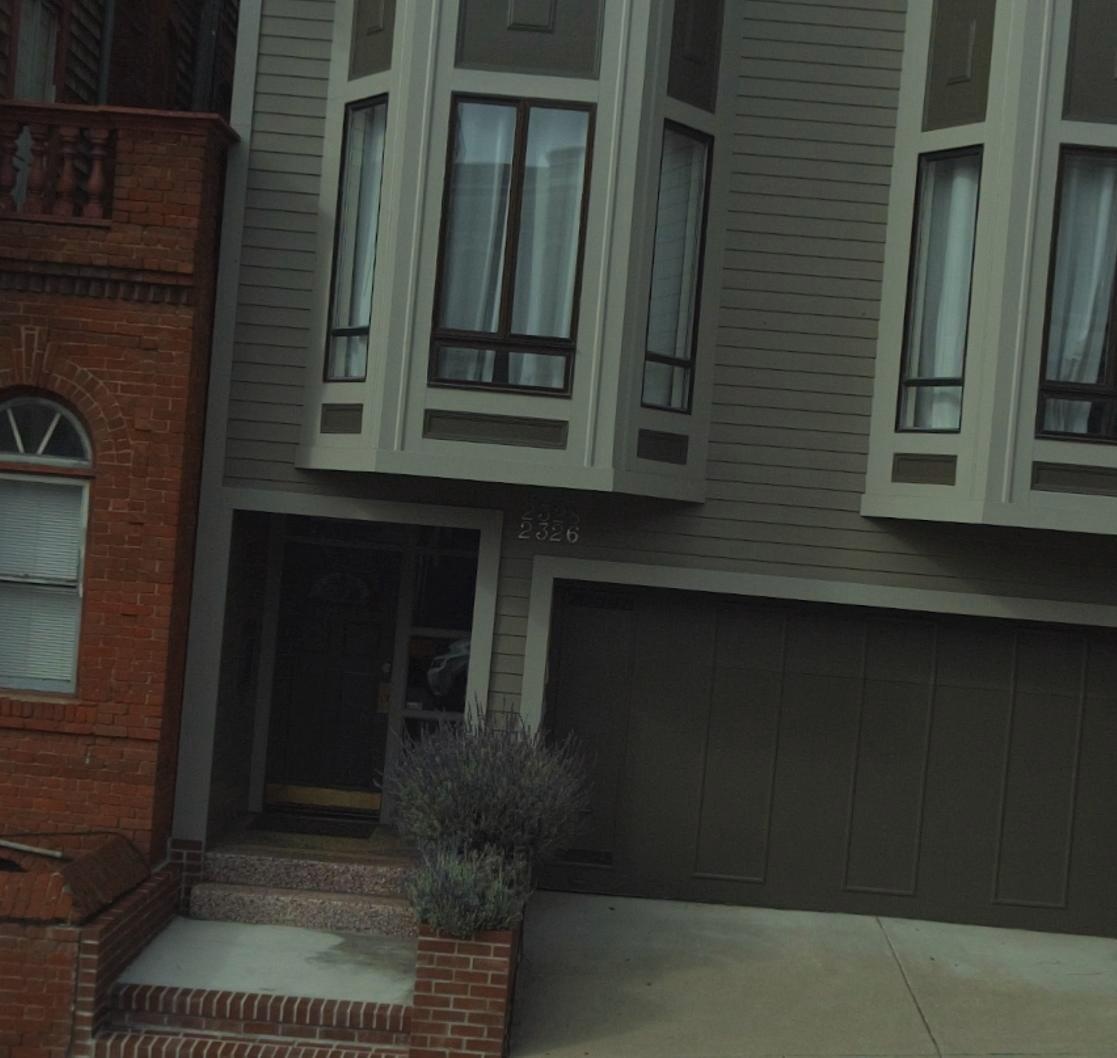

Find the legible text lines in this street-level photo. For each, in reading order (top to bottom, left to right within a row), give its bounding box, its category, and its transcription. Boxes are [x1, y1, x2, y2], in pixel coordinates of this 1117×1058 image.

[519, 500, 582, 526] StreetNumber: 2328
[516, 519, 582, 546] StreetNumber: 2326